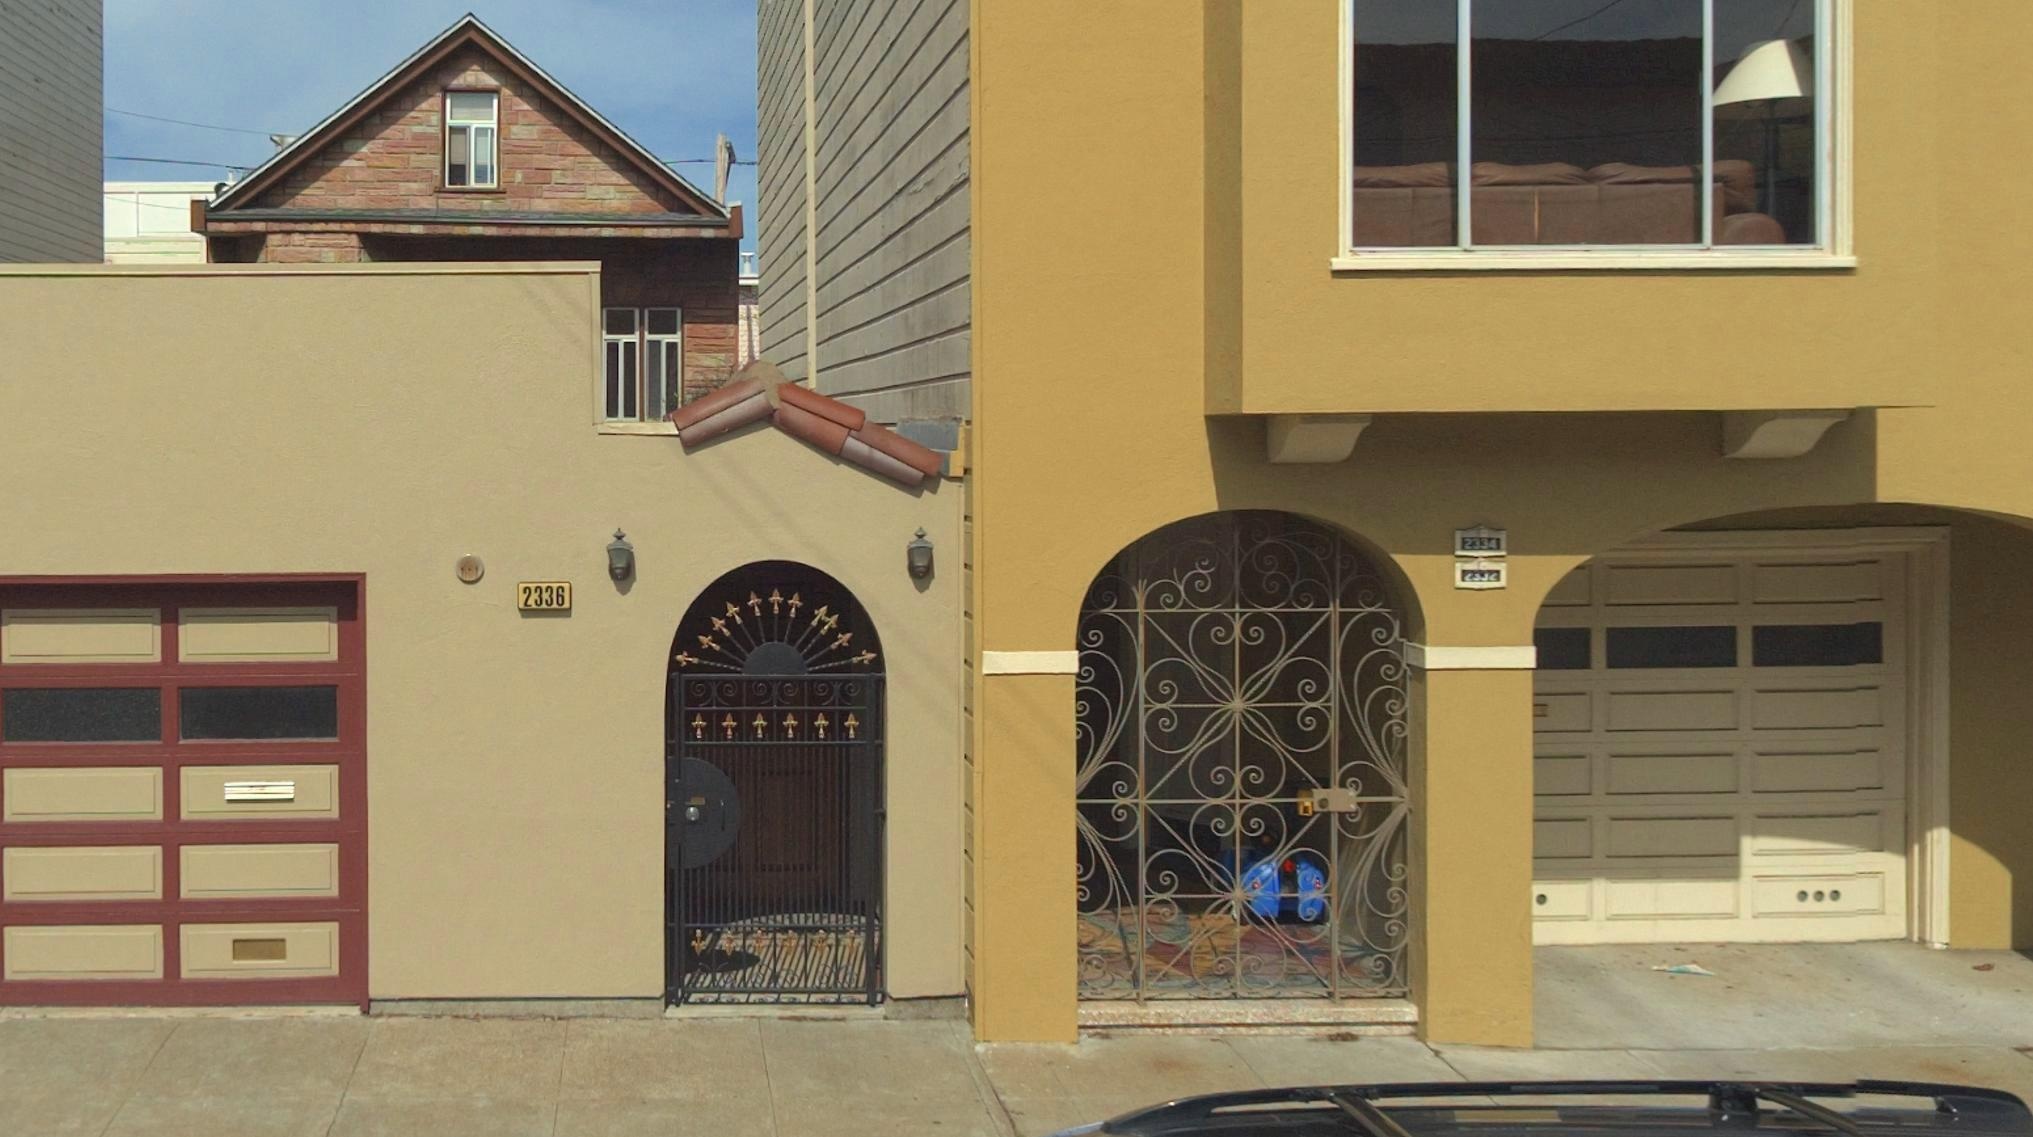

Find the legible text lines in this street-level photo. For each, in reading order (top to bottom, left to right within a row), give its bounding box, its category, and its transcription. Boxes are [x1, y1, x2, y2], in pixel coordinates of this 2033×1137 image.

[1462, 536, 1500, 551] StreetNumber: 2334
[1461, 569, 1500, 584] StreetNumber: 2332
[520, 583, 567, 610] StreetNumber: 2336